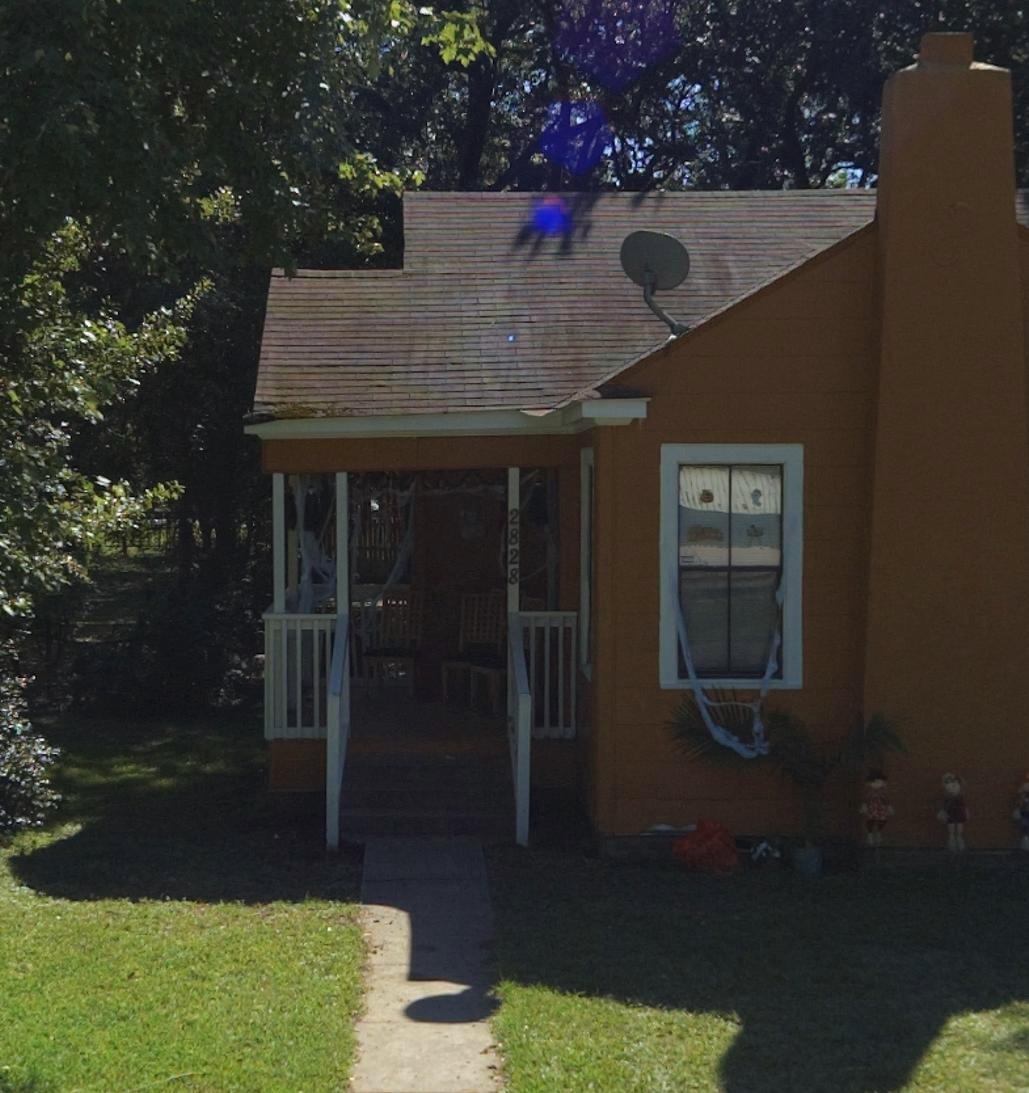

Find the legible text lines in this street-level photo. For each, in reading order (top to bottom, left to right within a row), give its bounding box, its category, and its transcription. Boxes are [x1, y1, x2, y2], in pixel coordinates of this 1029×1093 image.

[508, 507, 520, 587] StreetNumber: 2828